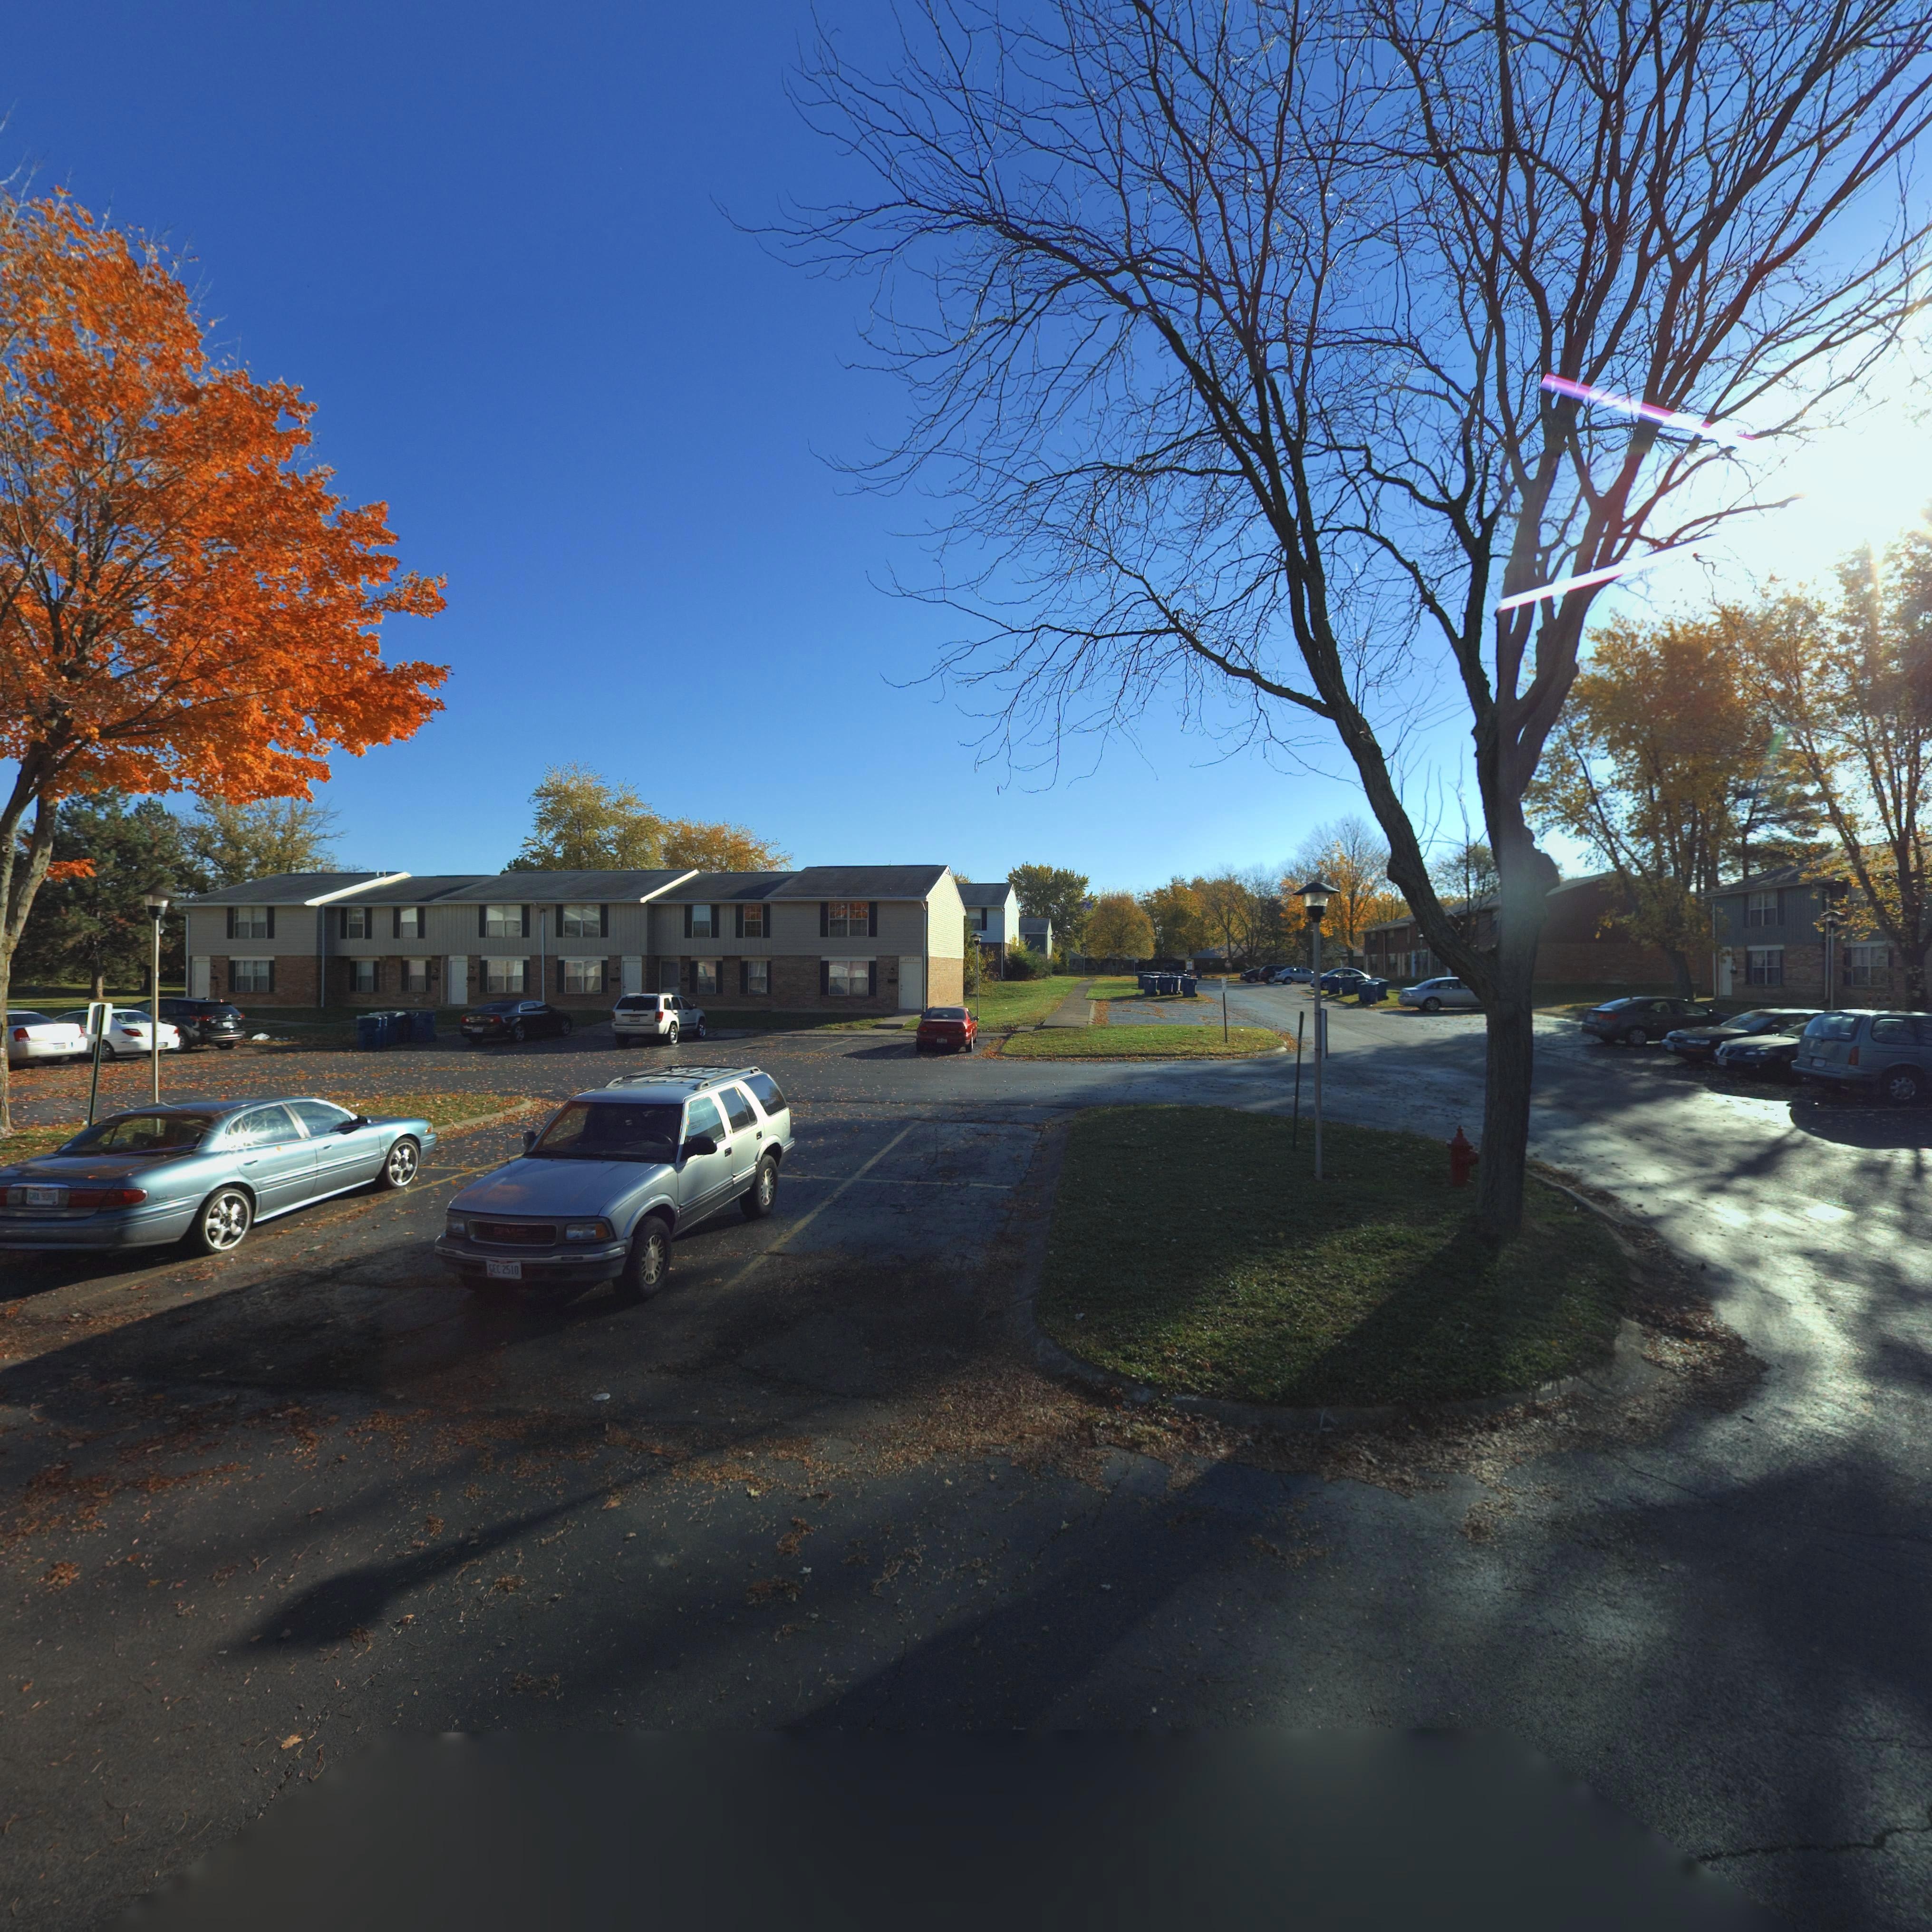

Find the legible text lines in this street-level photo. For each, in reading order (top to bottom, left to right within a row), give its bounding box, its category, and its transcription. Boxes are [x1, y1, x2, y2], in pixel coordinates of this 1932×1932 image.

[905, 957, 914, 961] StreetNumber: ***7